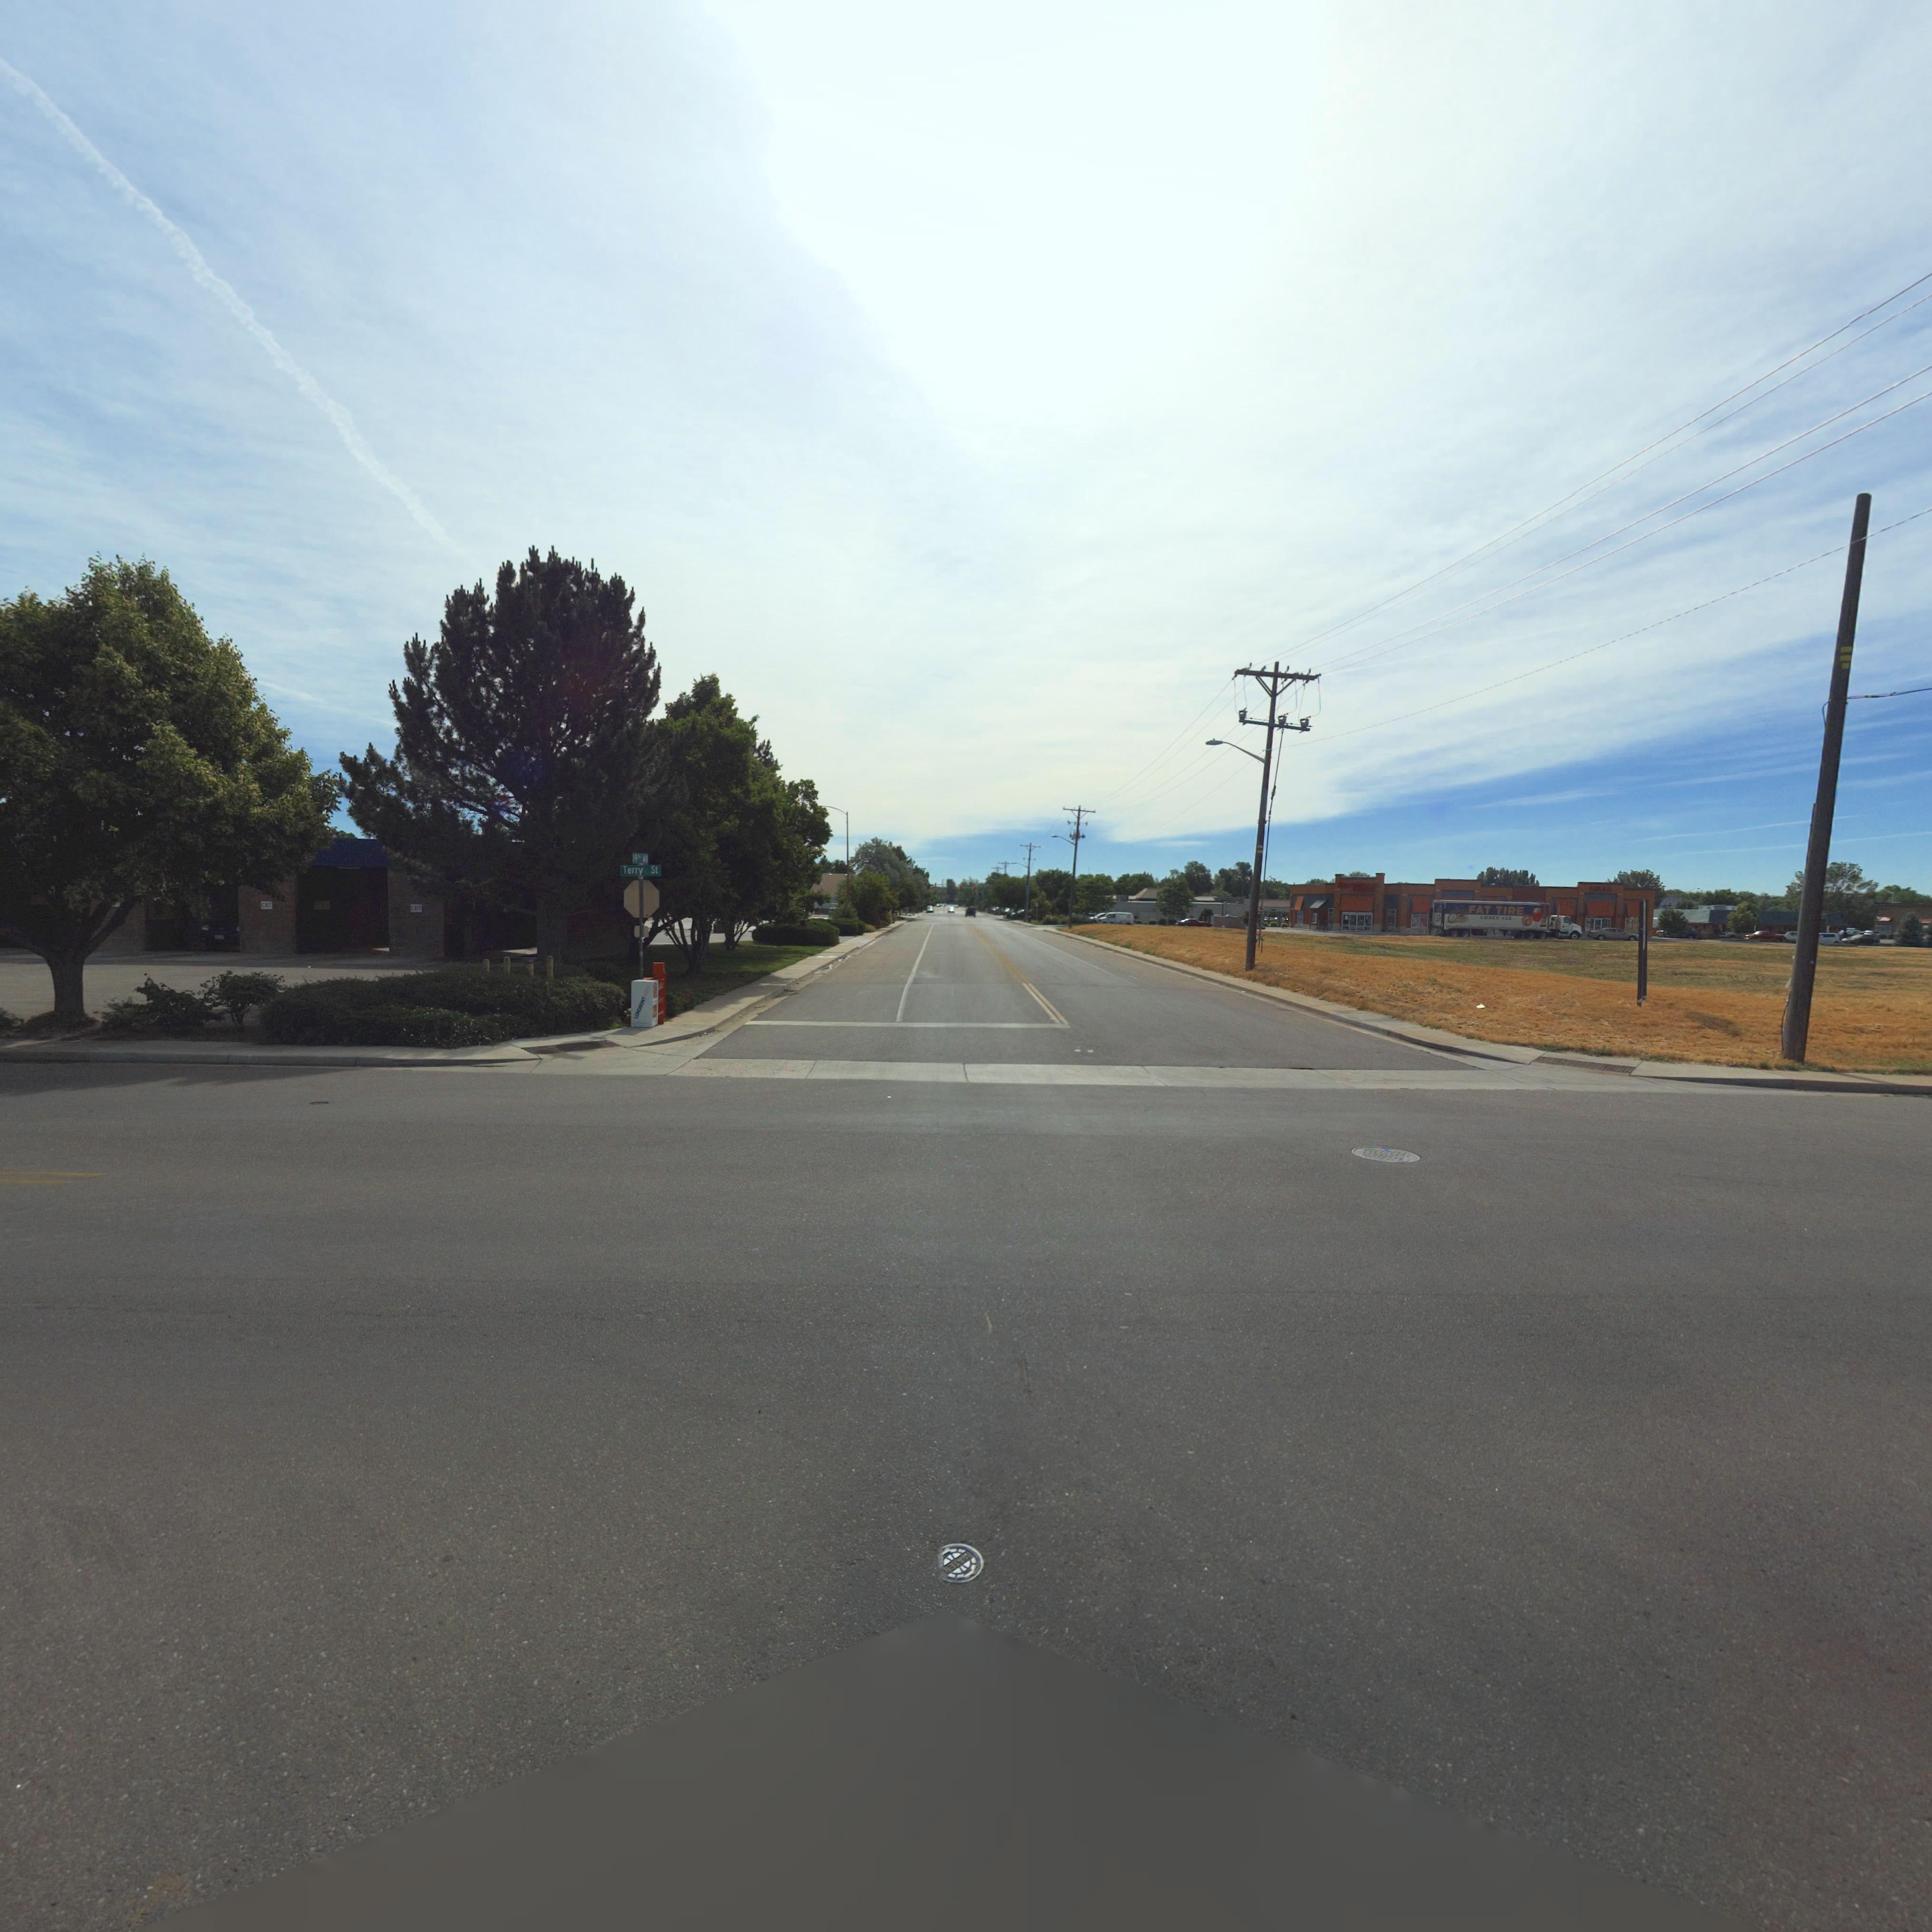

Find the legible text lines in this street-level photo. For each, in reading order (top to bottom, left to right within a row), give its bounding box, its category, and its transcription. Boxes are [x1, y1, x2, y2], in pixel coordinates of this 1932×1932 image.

[632, 853, 648, 863] StreetName: 19TH AV
[622, 865, 658, 876] StreetName: Terry St